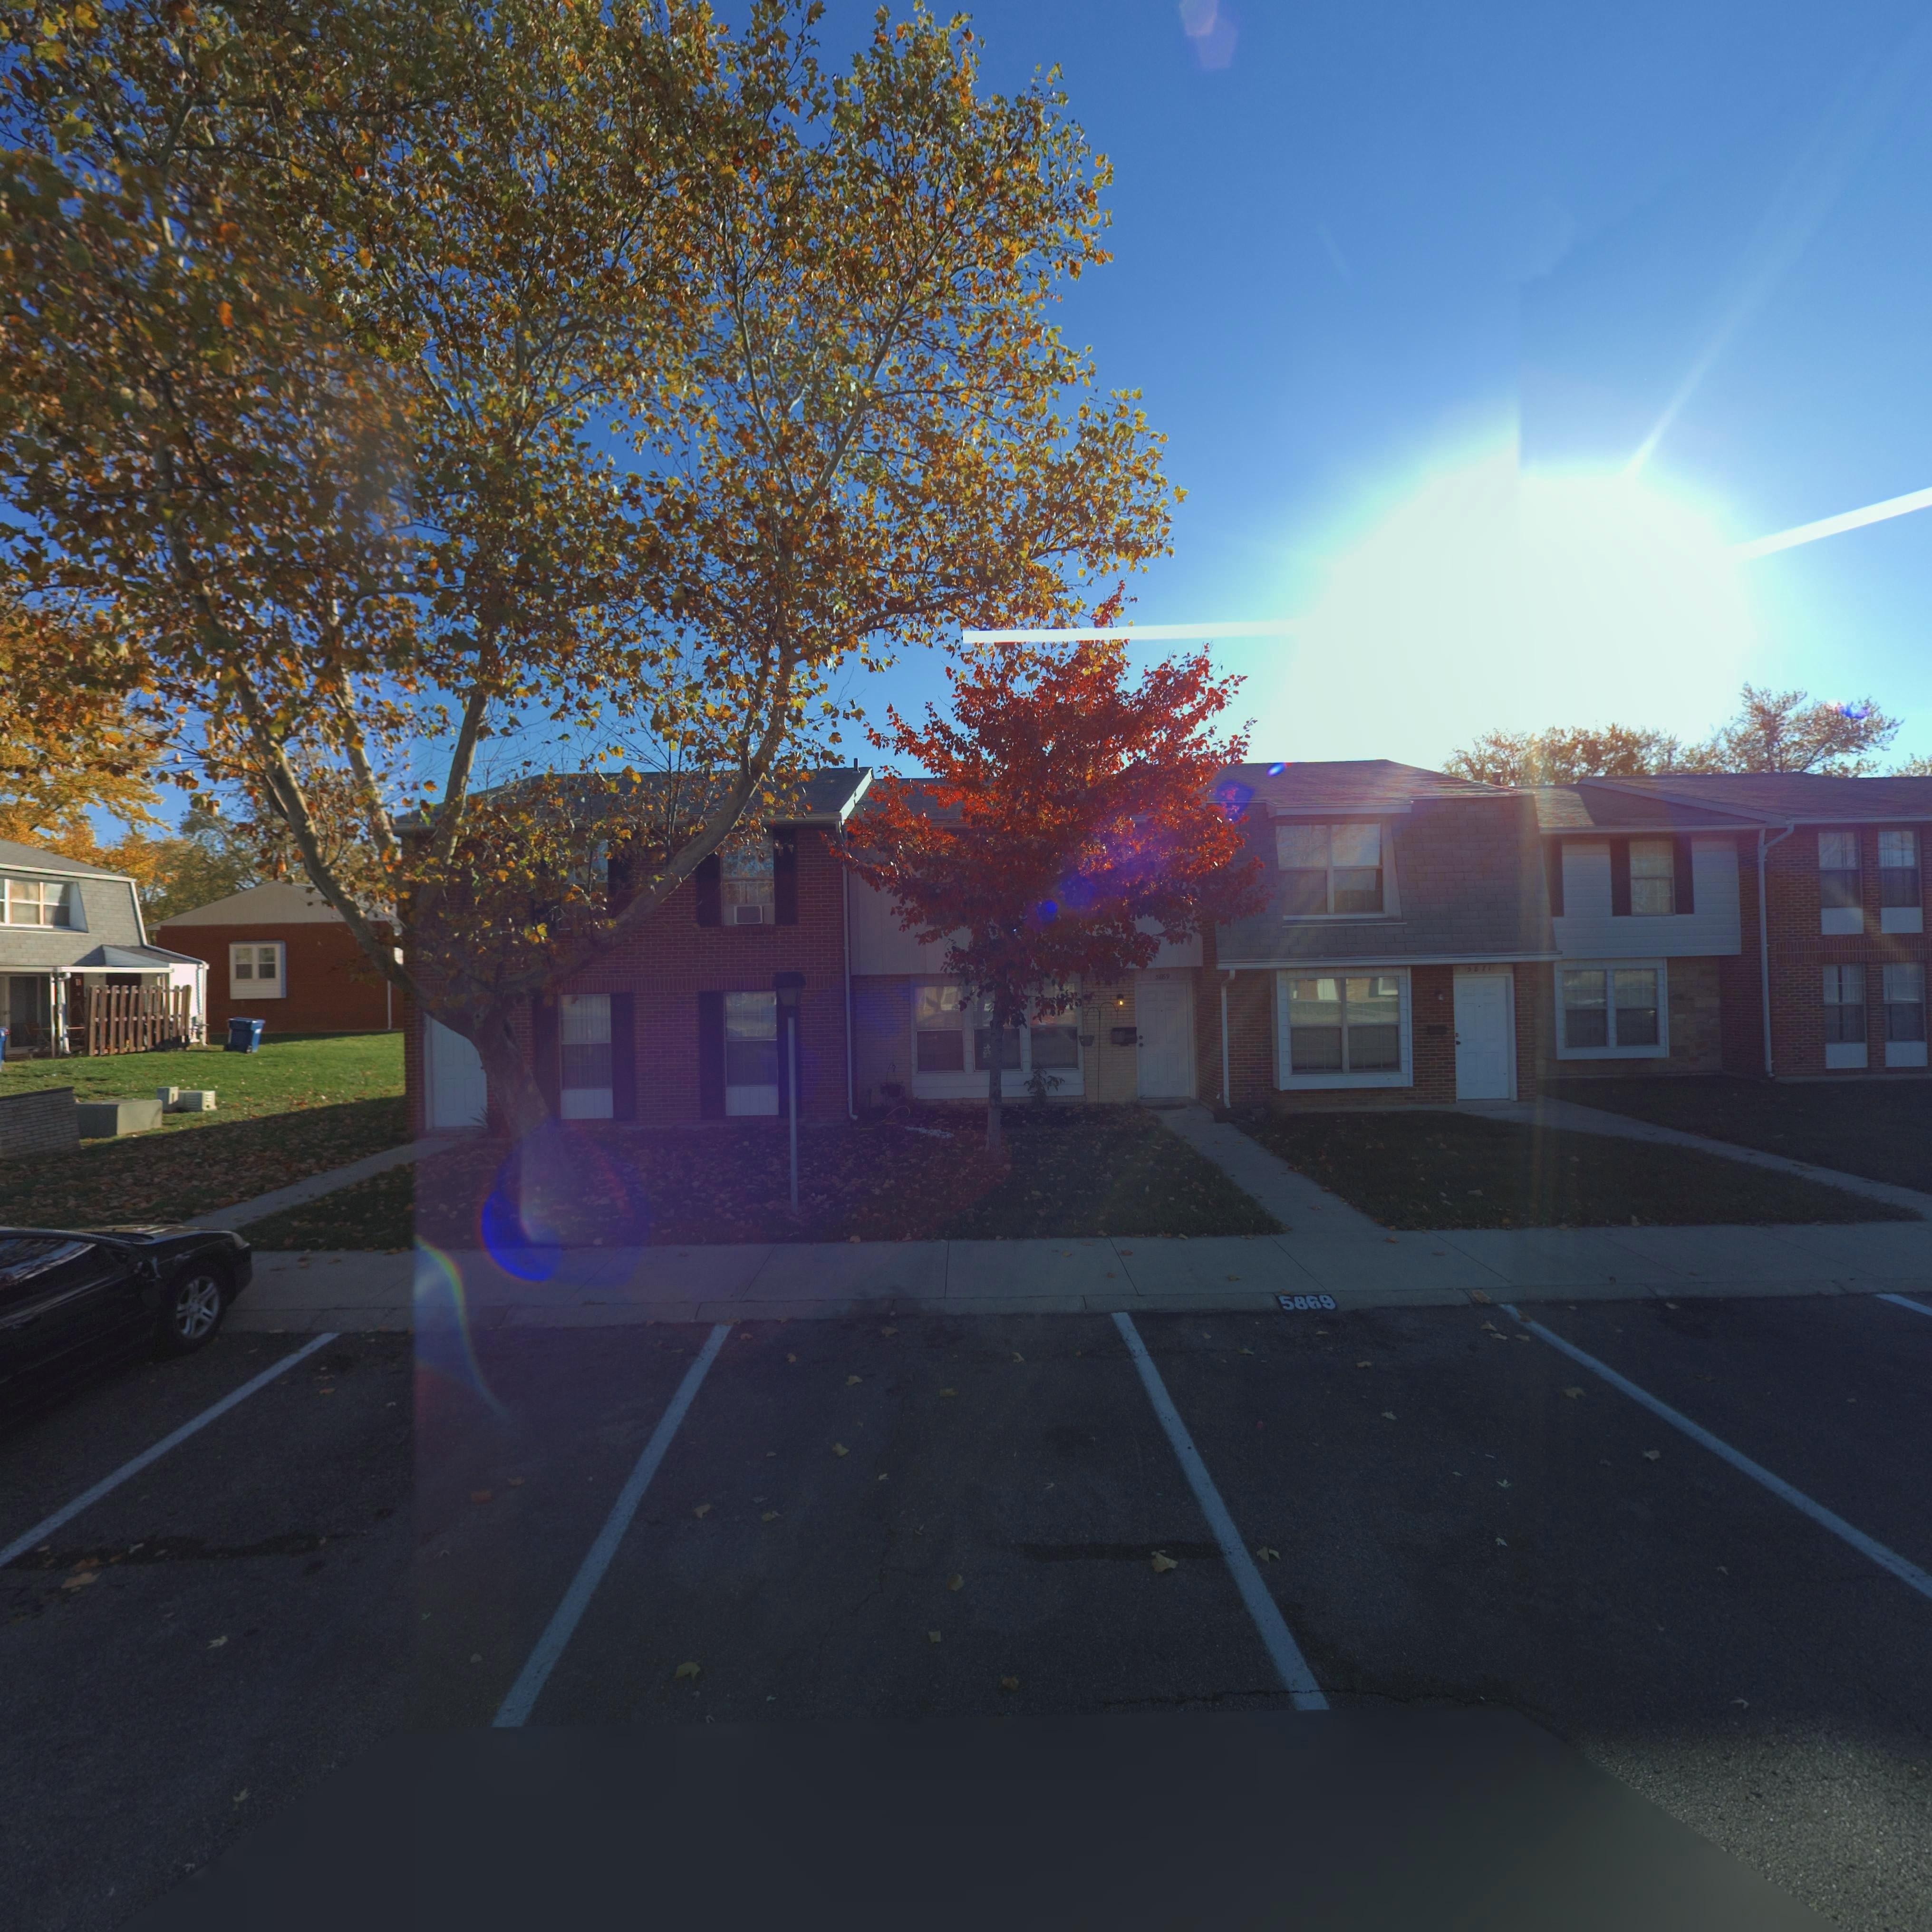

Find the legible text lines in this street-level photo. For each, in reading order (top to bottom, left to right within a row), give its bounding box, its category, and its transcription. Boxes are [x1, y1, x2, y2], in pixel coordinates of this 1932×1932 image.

[1466, 964, 1493, 973] StreetNumber: 5871
[1154, 972, 1171, 981] StreetNumber: 5*69
[1275, 1293, 1338, 1312] StreetNumber: 5869